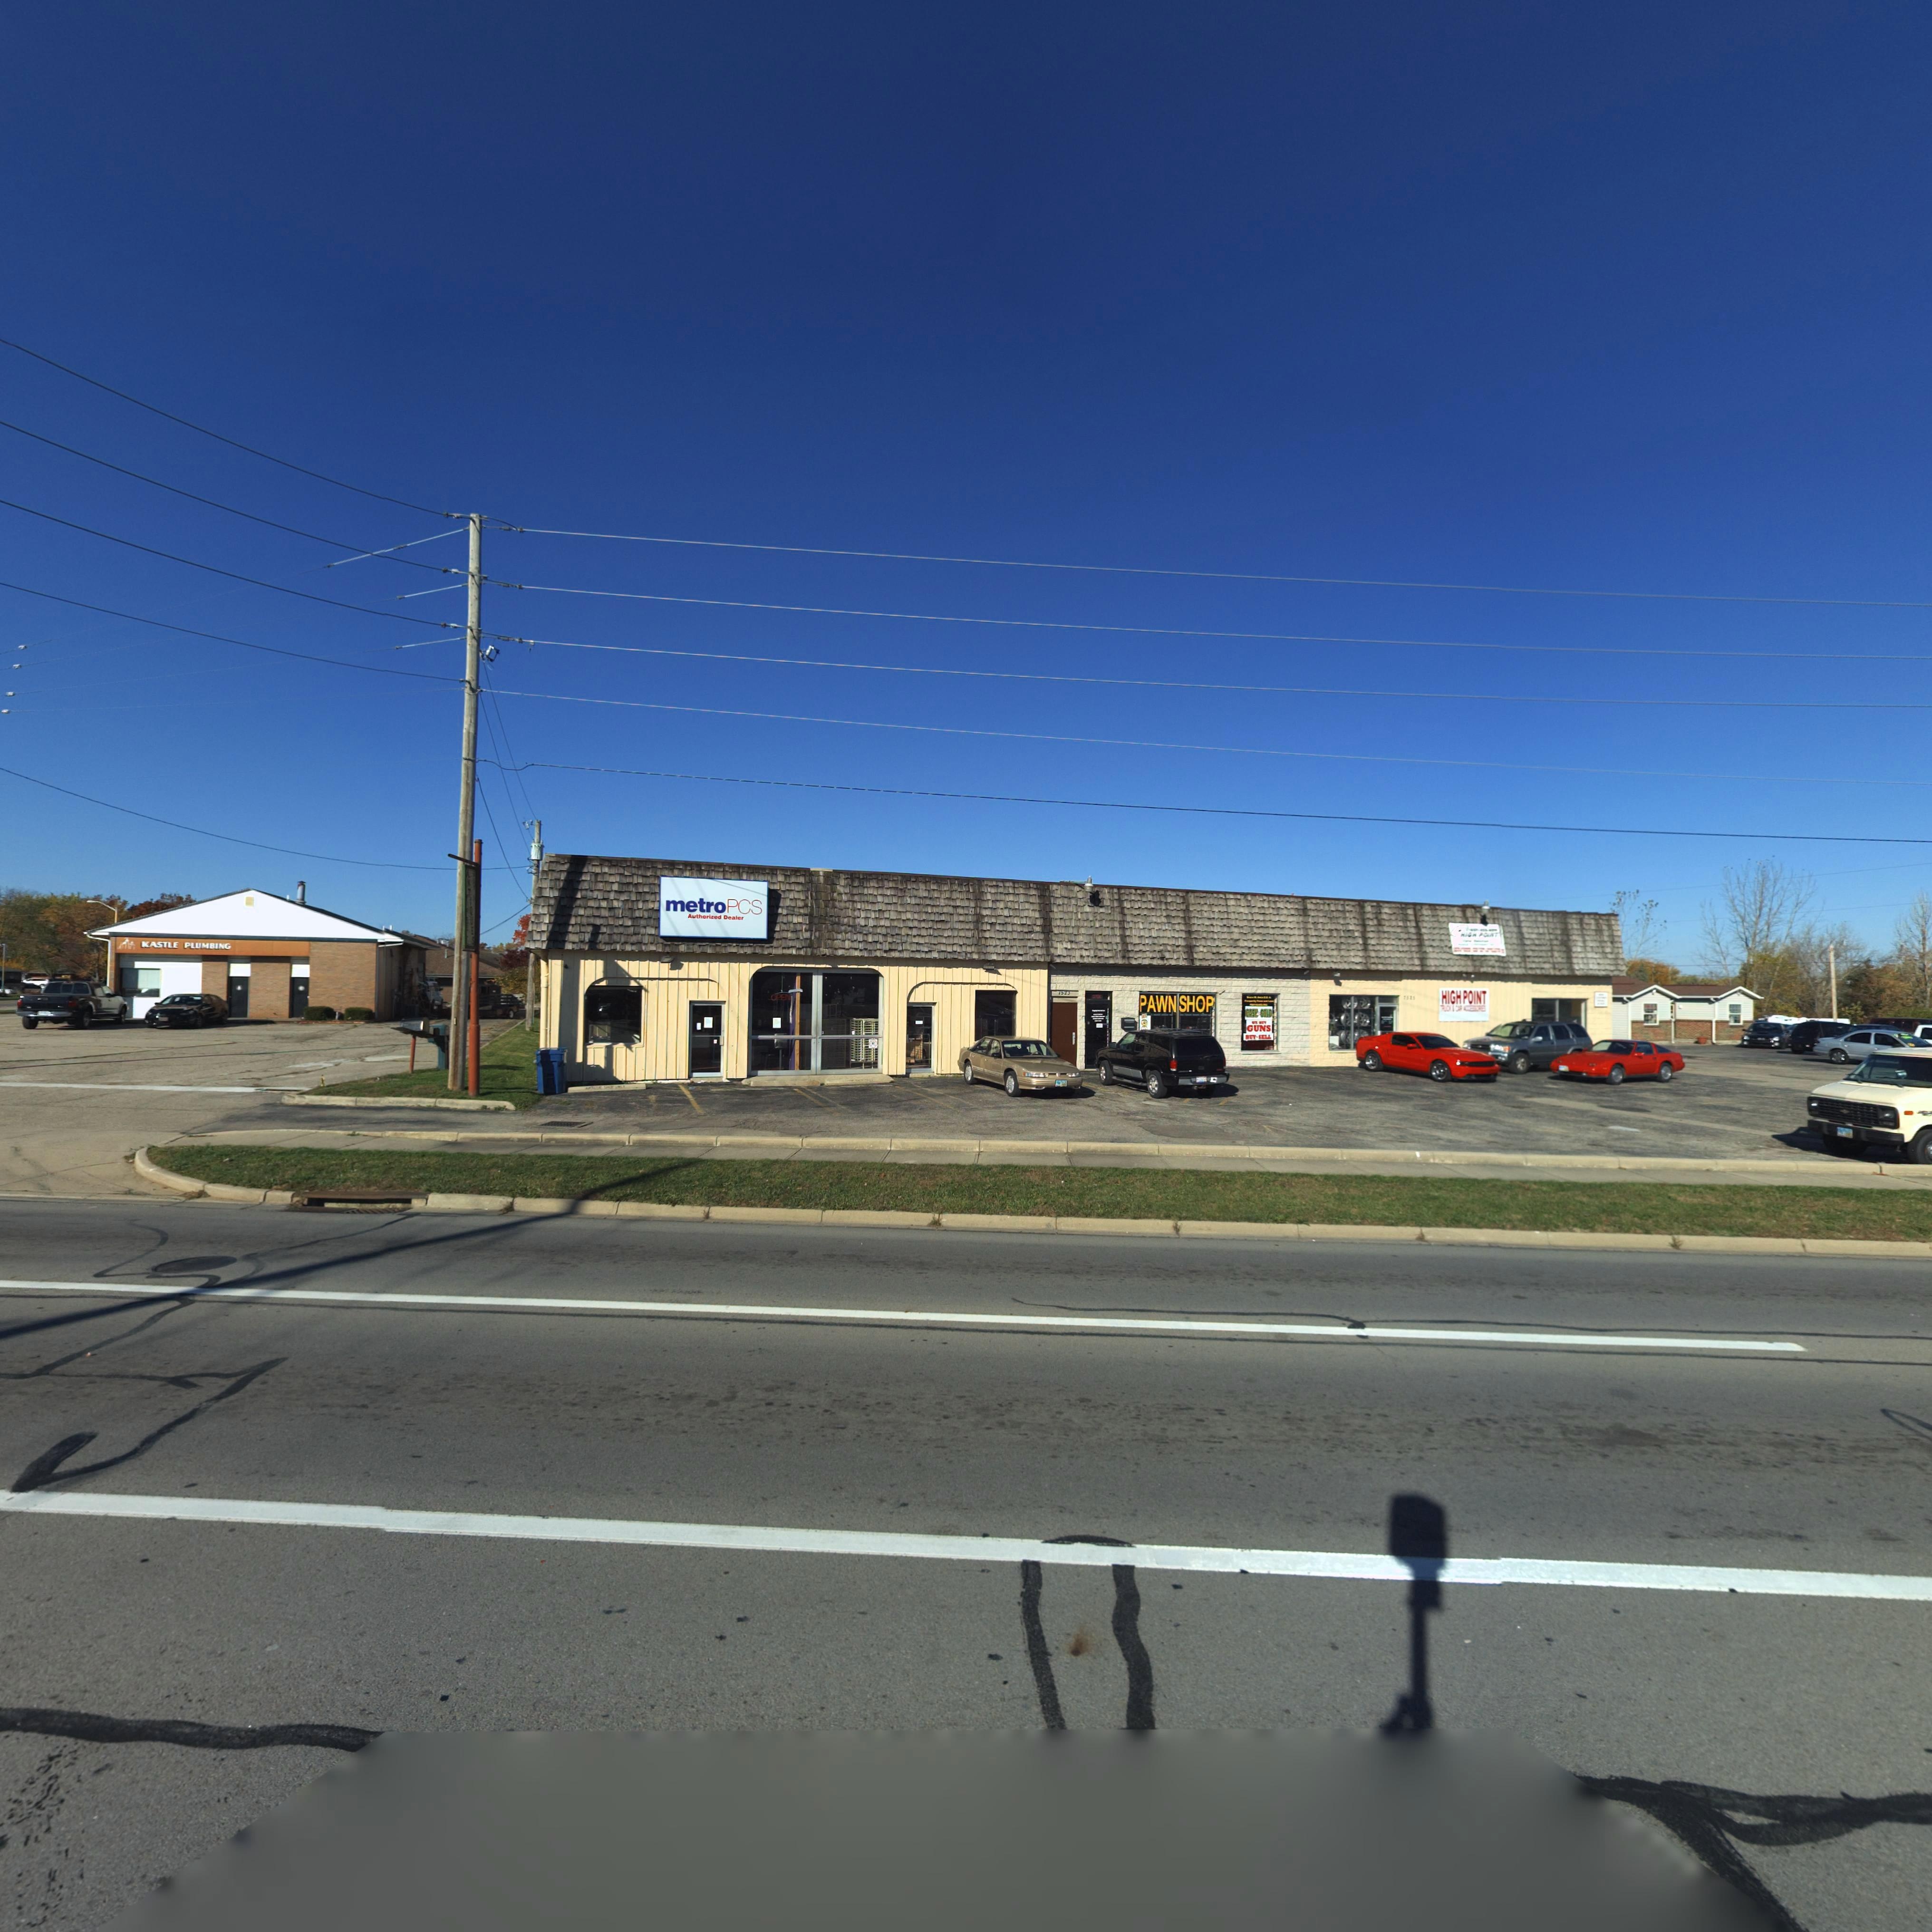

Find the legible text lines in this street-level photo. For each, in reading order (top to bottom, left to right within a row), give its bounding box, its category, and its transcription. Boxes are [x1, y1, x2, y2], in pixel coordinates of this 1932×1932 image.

[665, 897, 763, 916] BusinessName: metroPCS
[1459, 932, 1500, 938] BusinessName: HIGH POINT
[140, 940, 232, 950] BusinessName: KASTLE PLUMBING
[1056, 990, 1072, 996] StreetNumber: 7523
[1441, 990, 1488, 1005] BusinessName: HIGH POINT
[1244, 1008, 1273, 1018] BusinessName: CASH4GOLD